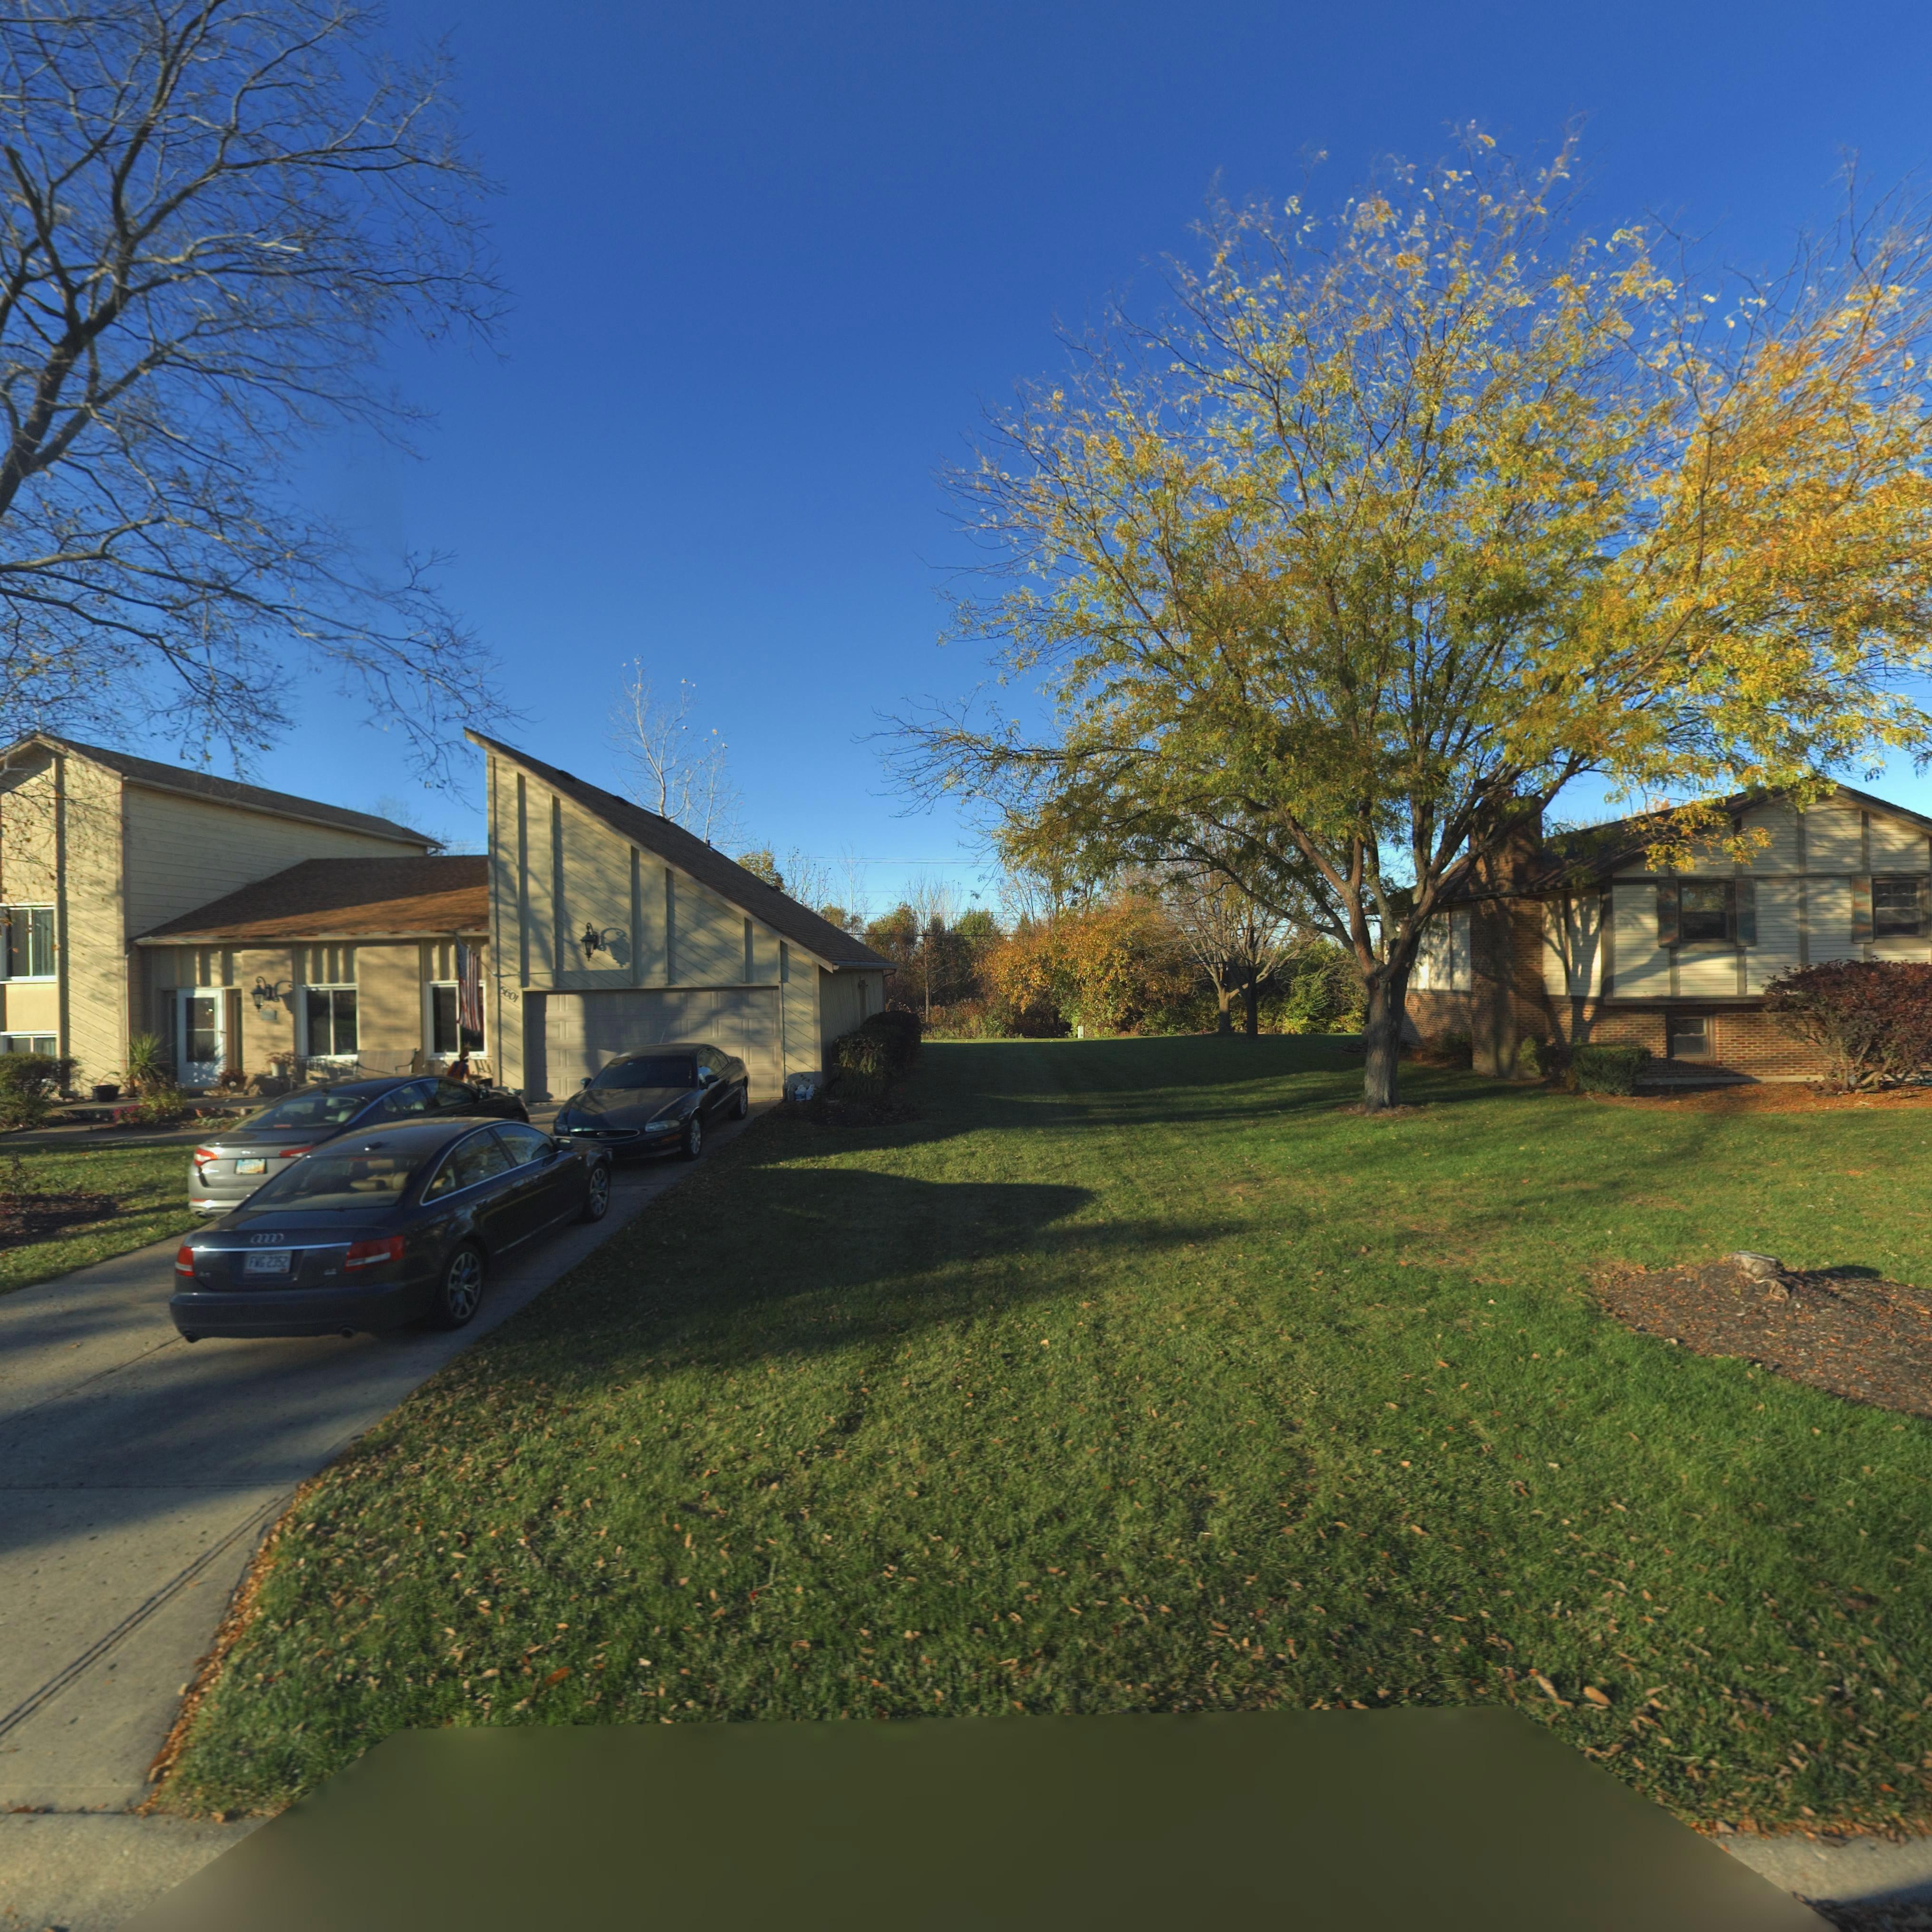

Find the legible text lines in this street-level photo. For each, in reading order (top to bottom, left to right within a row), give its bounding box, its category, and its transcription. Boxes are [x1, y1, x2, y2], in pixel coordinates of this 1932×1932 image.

[497, 985, 521, 1004] StreetNumber: 5601